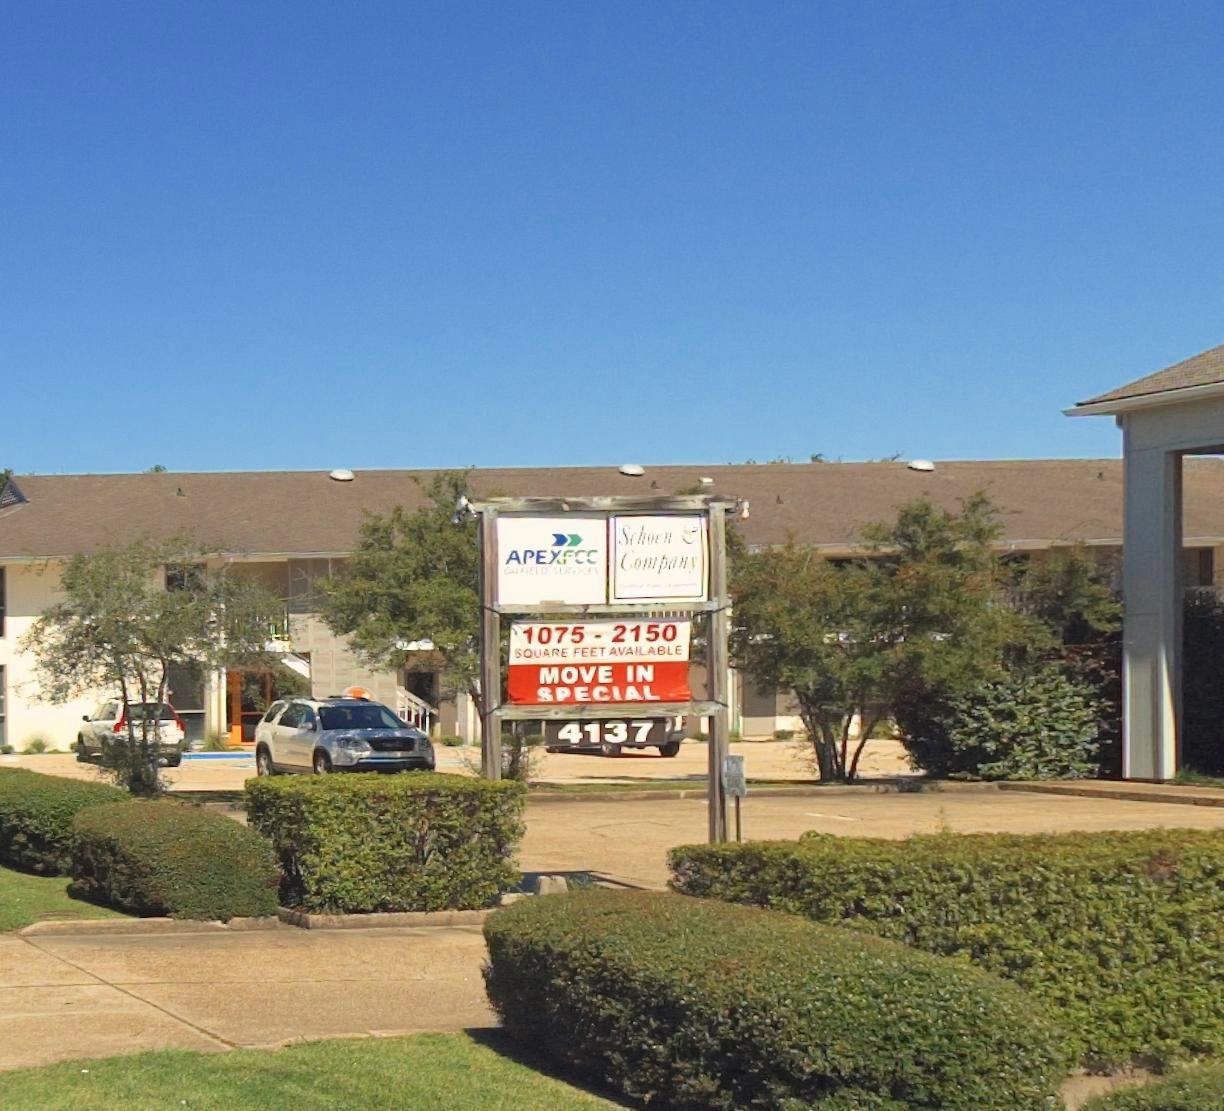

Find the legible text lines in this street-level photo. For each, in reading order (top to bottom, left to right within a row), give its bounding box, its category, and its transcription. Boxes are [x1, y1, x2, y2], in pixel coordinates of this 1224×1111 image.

[614, 521, 676, 550] BusinessName: S*ho**
[500, 546, 600, 567] BusinessName: APEXFCC
[617, 546, 700, 578] BusinessName: Company
[518, 621, 680, 648] None: 1075-2150
[512, 642, 686, 662] None: SQUARE FEET AVAILABLE
[536, 662, 657, 687] None: MOVE IN
[554, 683, 663, 703] None: PECIAL
[554, 716, 657, 749] StreetNumber: 4137